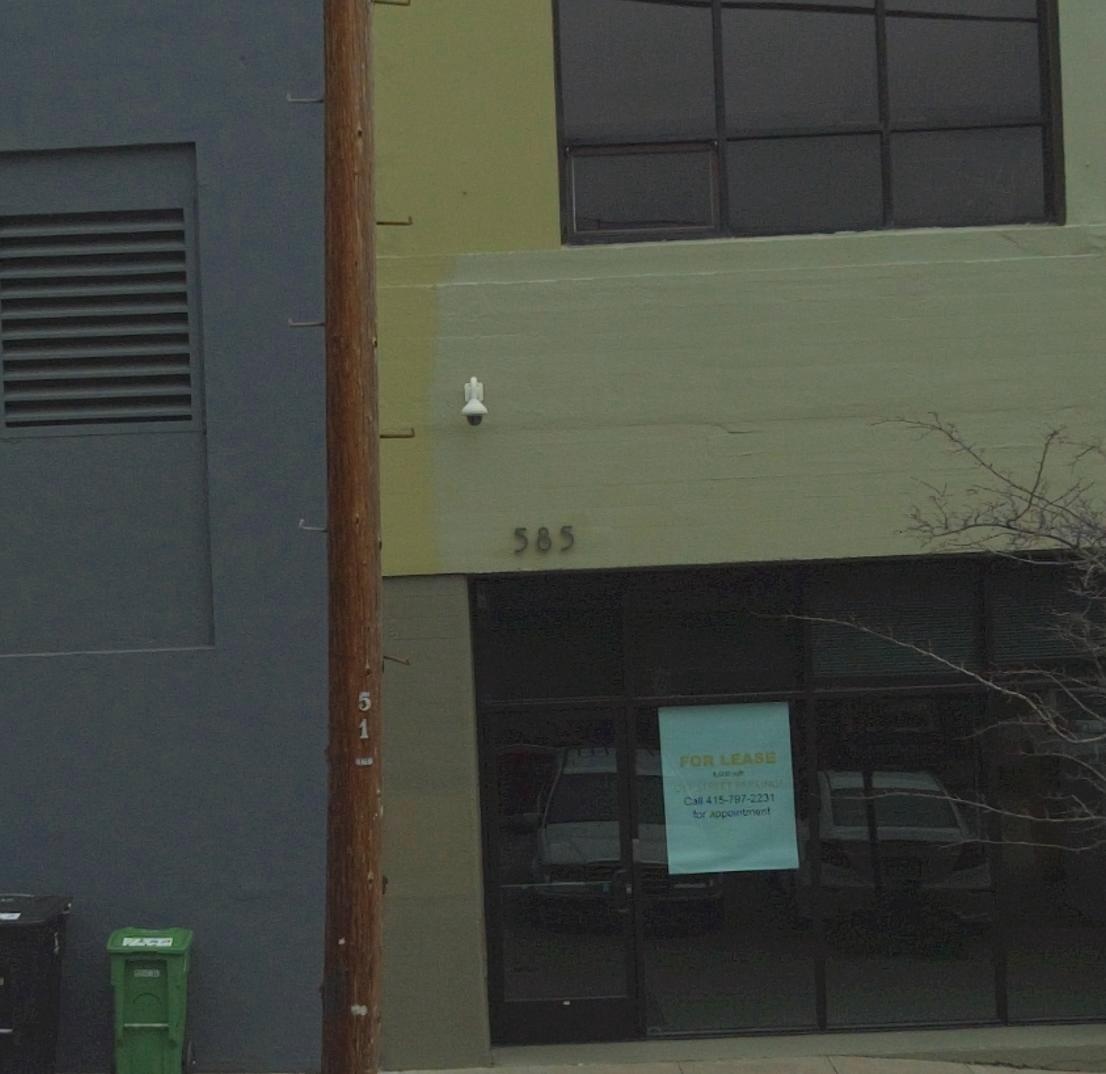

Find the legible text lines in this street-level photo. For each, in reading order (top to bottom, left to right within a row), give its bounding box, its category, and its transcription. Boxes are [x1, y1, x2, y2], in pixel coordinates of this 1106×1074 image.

[512, 523, 578, 555] StreetNumber: 585
[355, 690, 372, 741] None: 51
[679, 750, 778, 769] None: FOR LEASE
[682, 791, 776, 807] None: Call 415-797-2231
[691, 805, 773, 821] None: for appointment